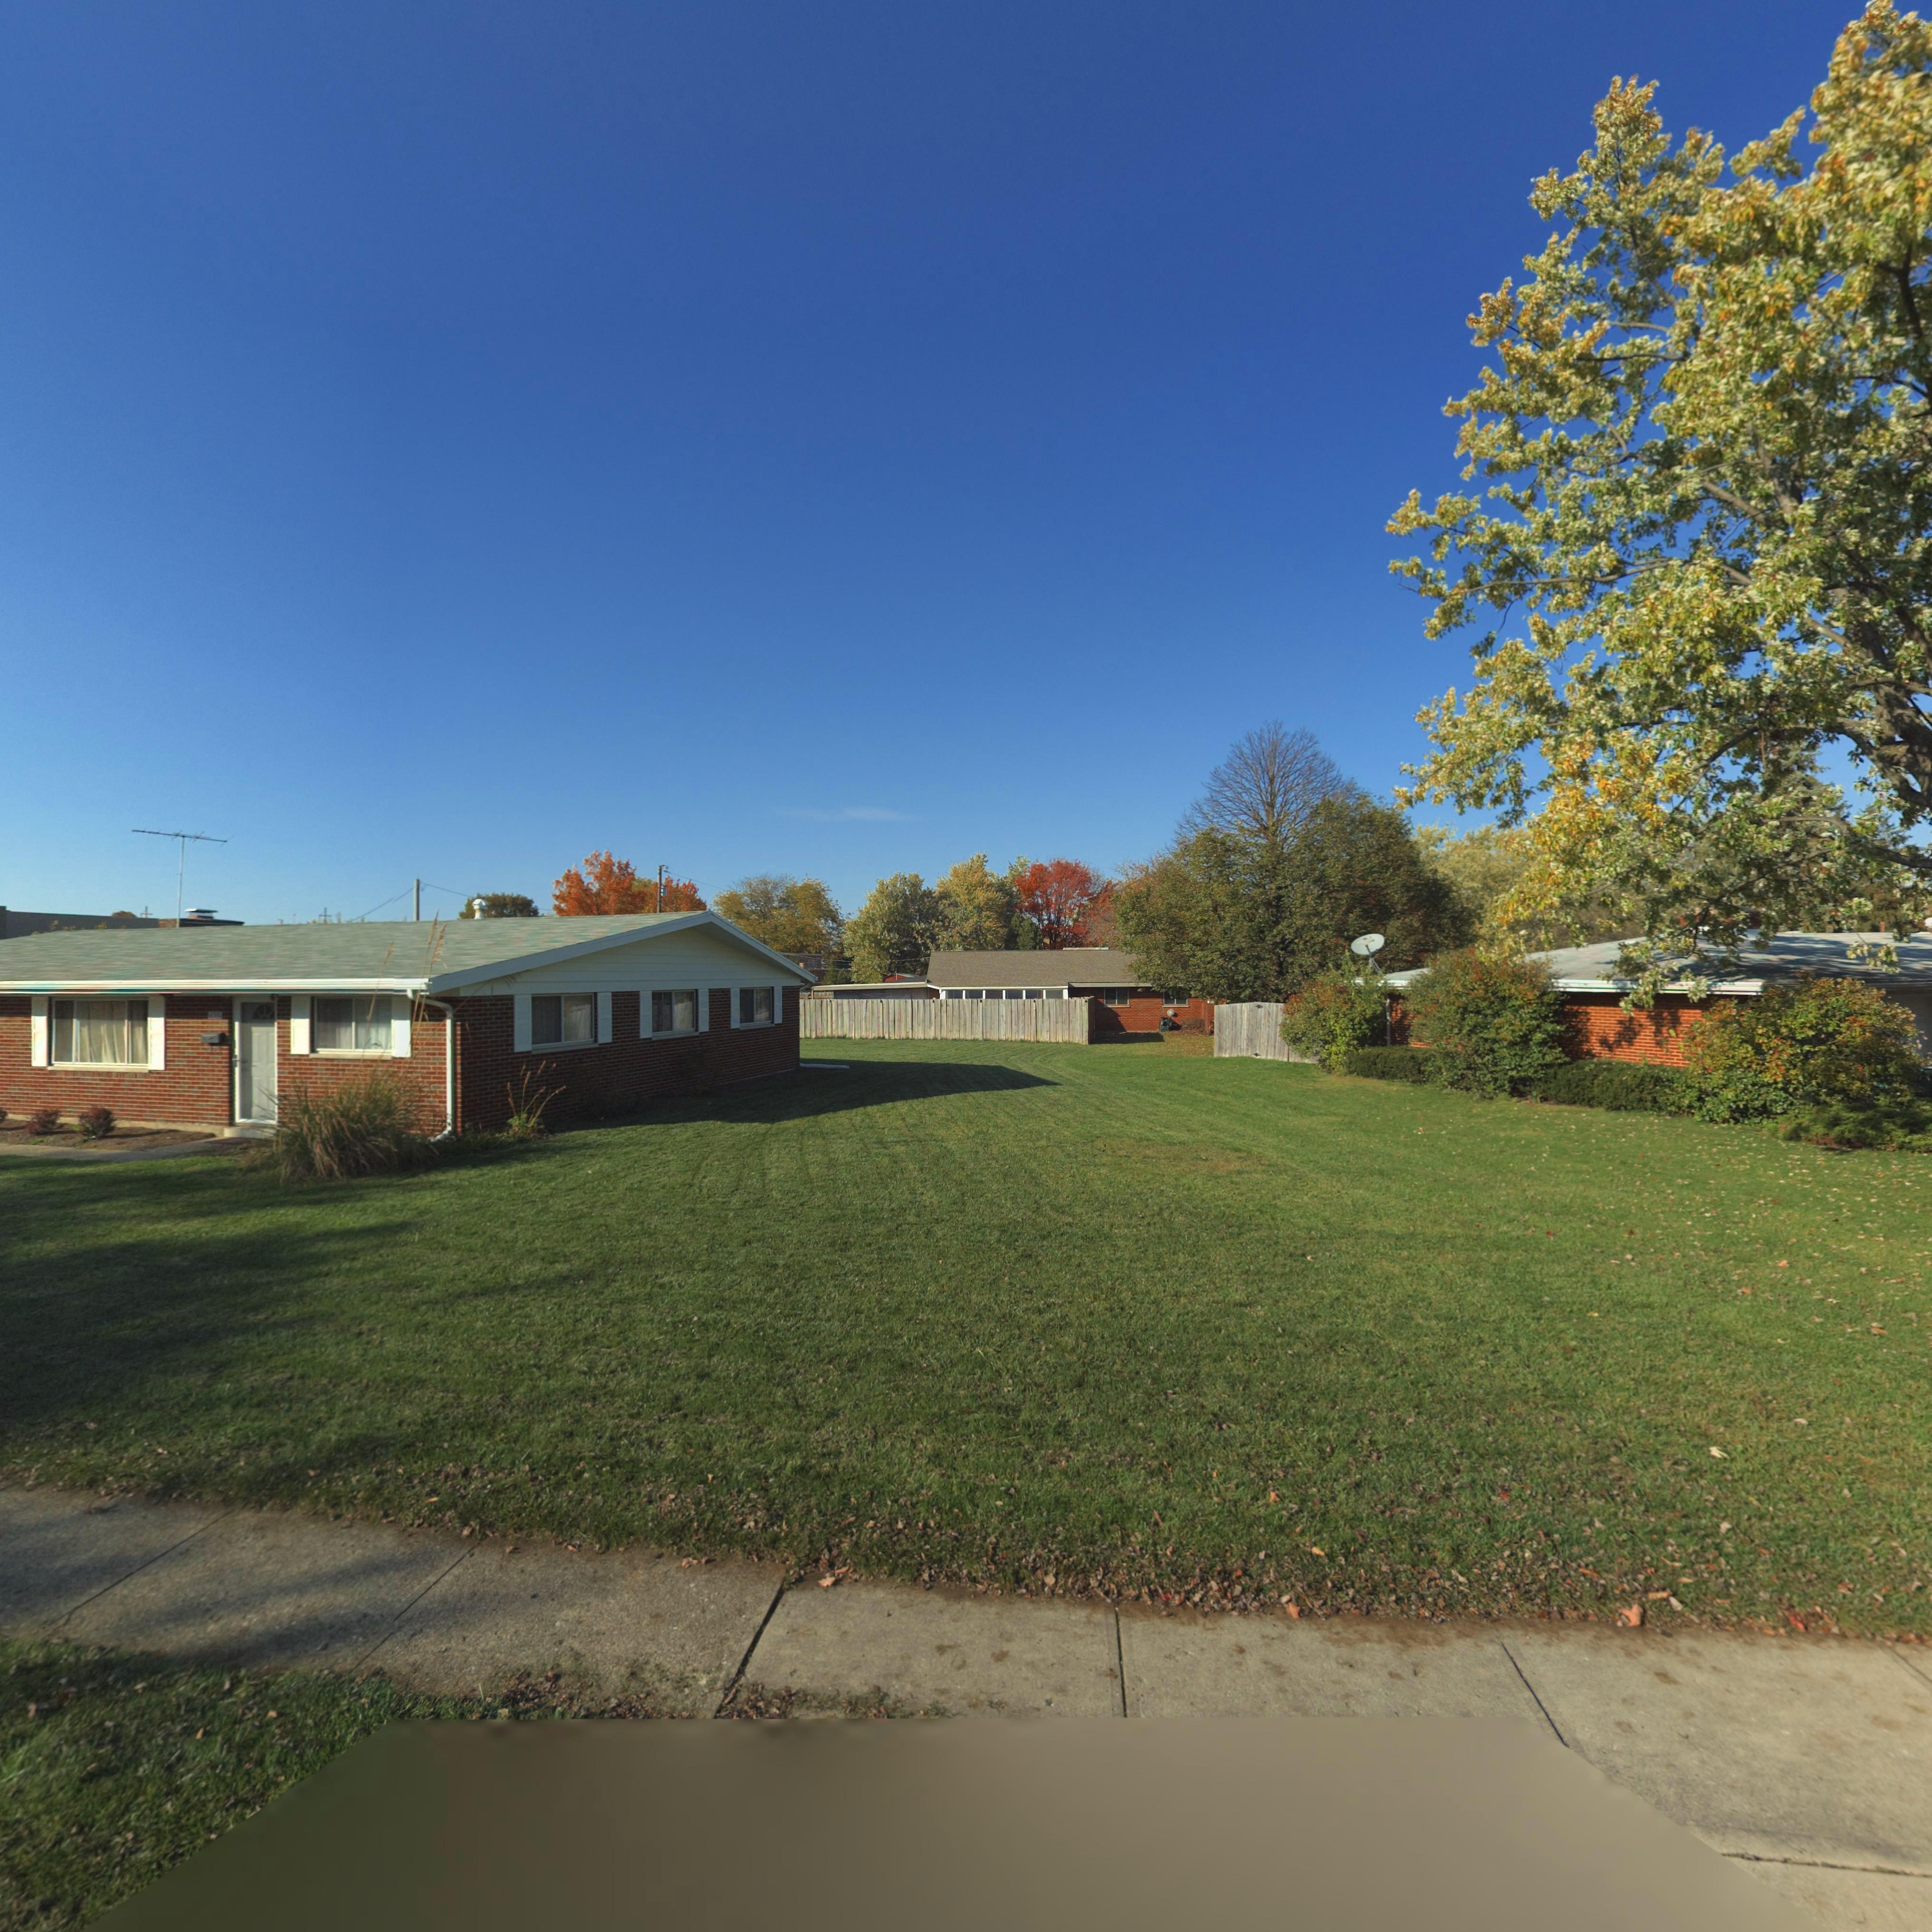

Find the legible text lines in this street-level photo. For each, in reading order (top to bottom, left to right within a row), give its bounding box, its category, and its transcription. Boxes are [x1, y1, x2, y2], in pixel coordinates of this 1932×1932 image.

[208, 1011, 221, 1019] StreetNumber: 65*